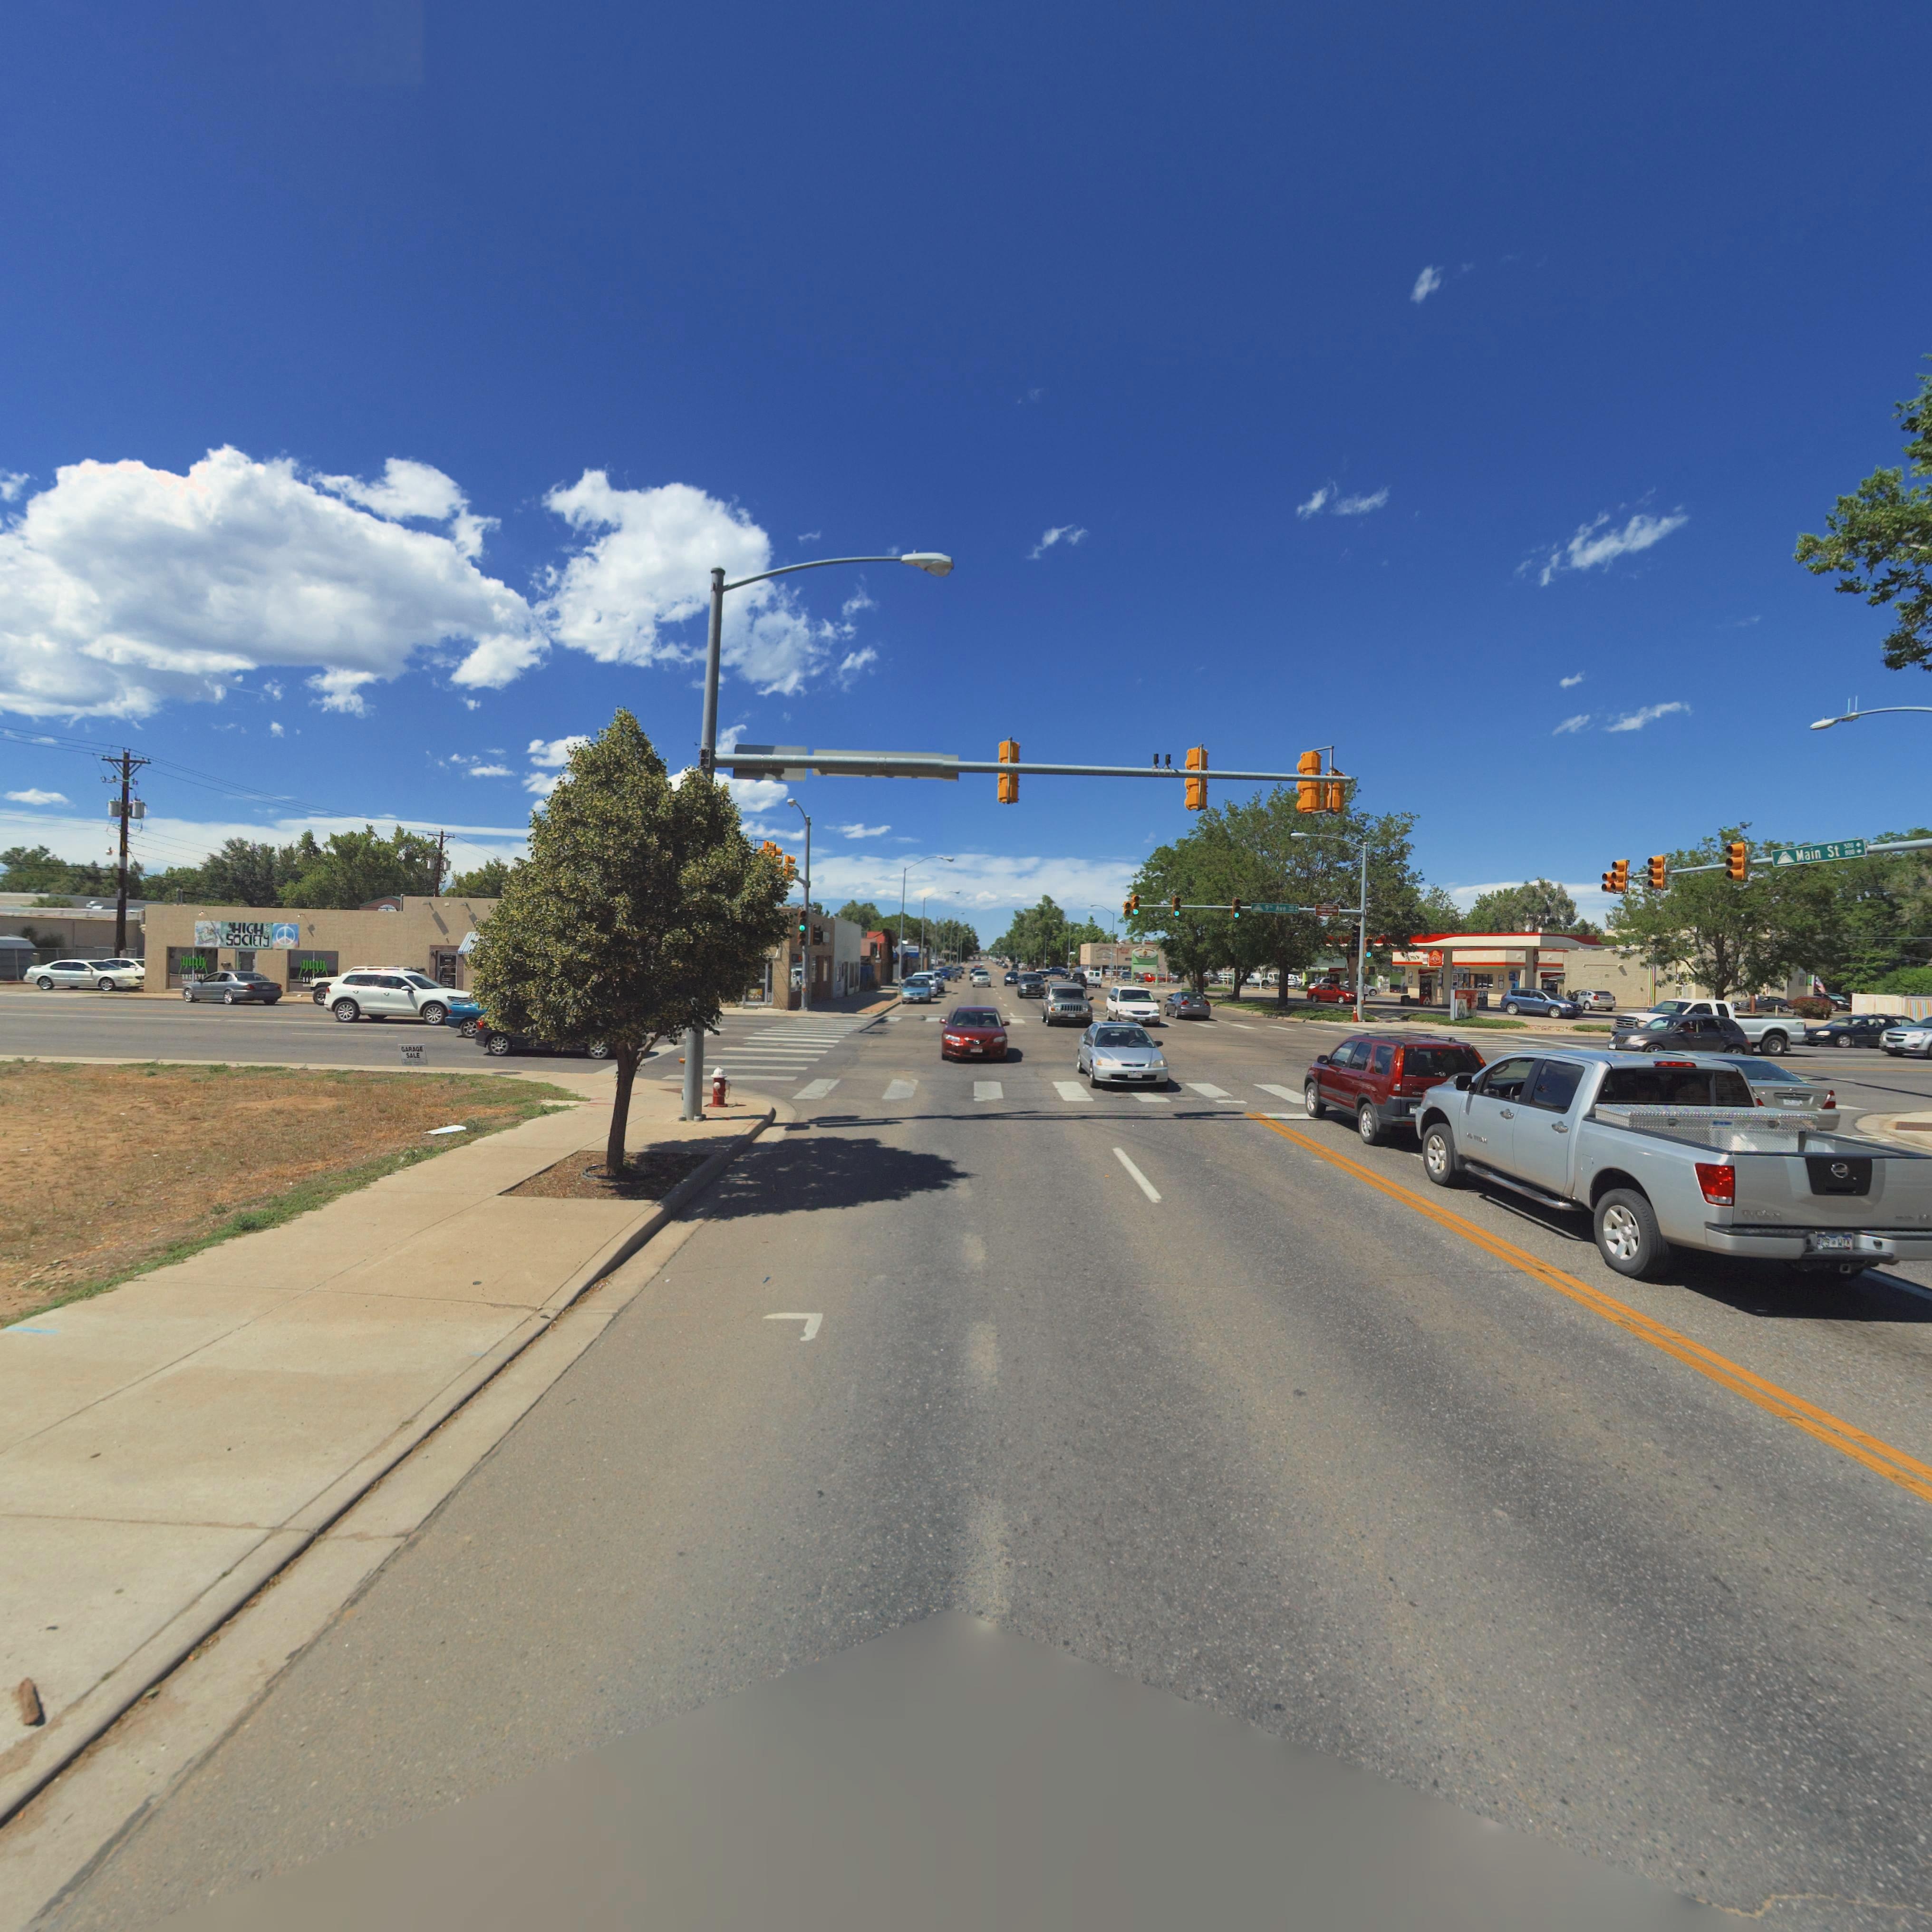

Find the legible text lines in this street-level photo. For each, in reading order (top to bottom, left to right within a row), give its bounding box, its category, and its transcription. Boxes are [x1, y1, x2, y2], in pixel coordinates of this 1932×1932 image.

[1844, 842, 1854, 849] StreetNumberRange: 500
[1794, 844, 1840, 861] StreetName: Main St
[1844, 848, 1862, 856] StreetNumberRange: 8*0->
[1265, 904, 1286, 912] StreetName: 9t* Ave
[231, 922, 264, 935] BusinessName: HIGH
[225, 933, 270, 947] BusinessName: SOCIETy
[1095, 947, 1112, 953] BusinessName: C*********
[181, 955, 205, 971] BusinessName: high
[302, 958, 326, 974] BusinessName: high
[181, 974, 191, 980] BusinessName: SOC
[302, 976, 309, 983] BusinessName: SO